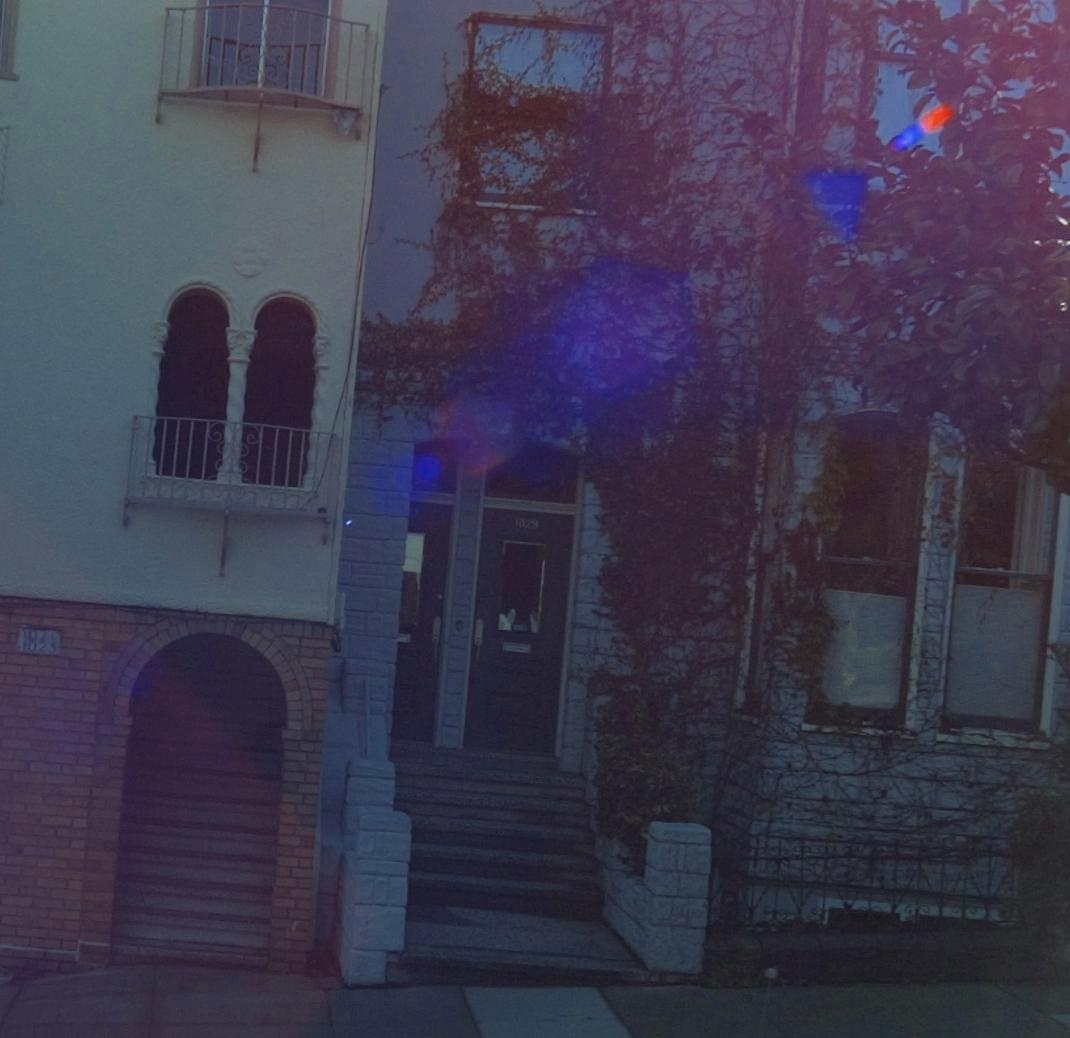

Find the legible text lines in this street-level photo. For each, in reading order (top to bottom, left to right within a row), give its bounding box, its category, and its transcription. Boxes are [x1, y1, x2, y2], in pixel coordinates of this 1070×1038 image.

[511, 515, 540, 531] StreetNumber: 1029
[18, 629, 55, 643] StreetNumber: 1021
[18, 641, 56, 655] StreetNumber: 1023